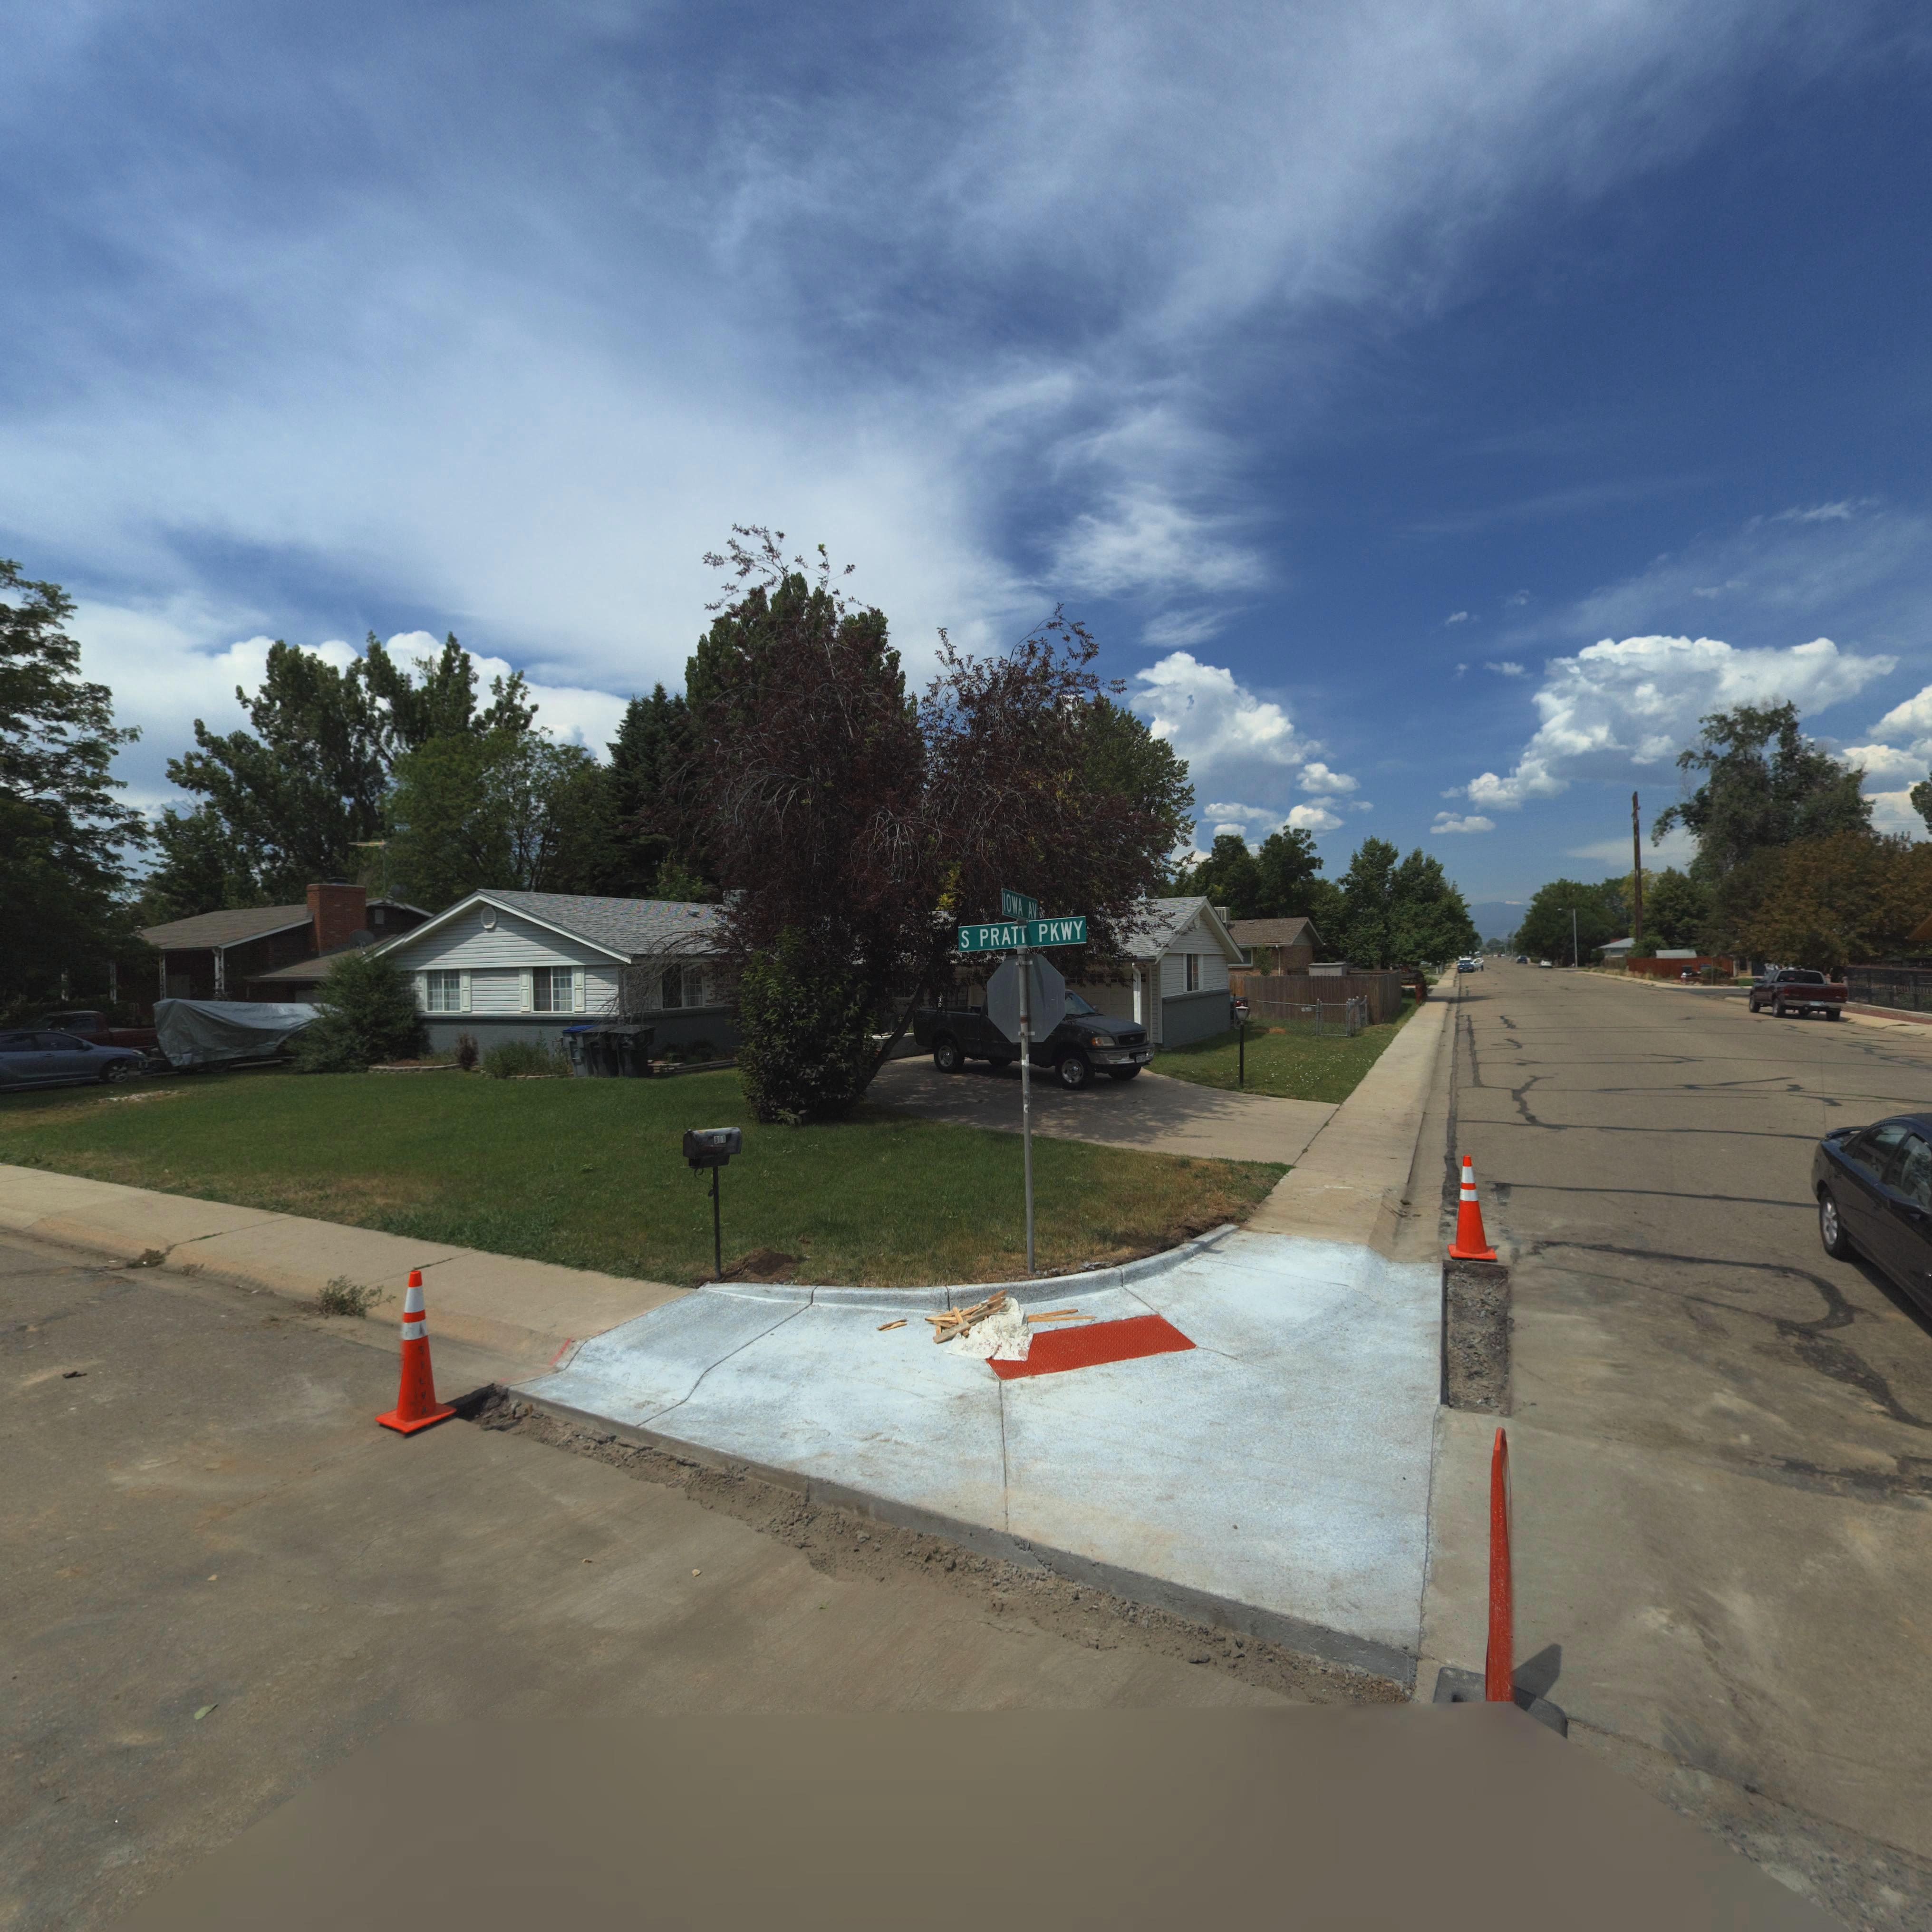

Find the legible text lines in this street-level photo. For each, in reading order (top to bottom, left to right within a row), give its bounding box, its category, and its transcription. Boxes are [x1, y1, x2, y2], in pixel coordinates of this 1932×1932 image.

[1003, 892, 1036, 920] StreetName: IOWA AV
[960, 920, 1083, 948] StreetName: S PRATT PKWY
[714, 1136, 725, 1143] StreetNumber: 901